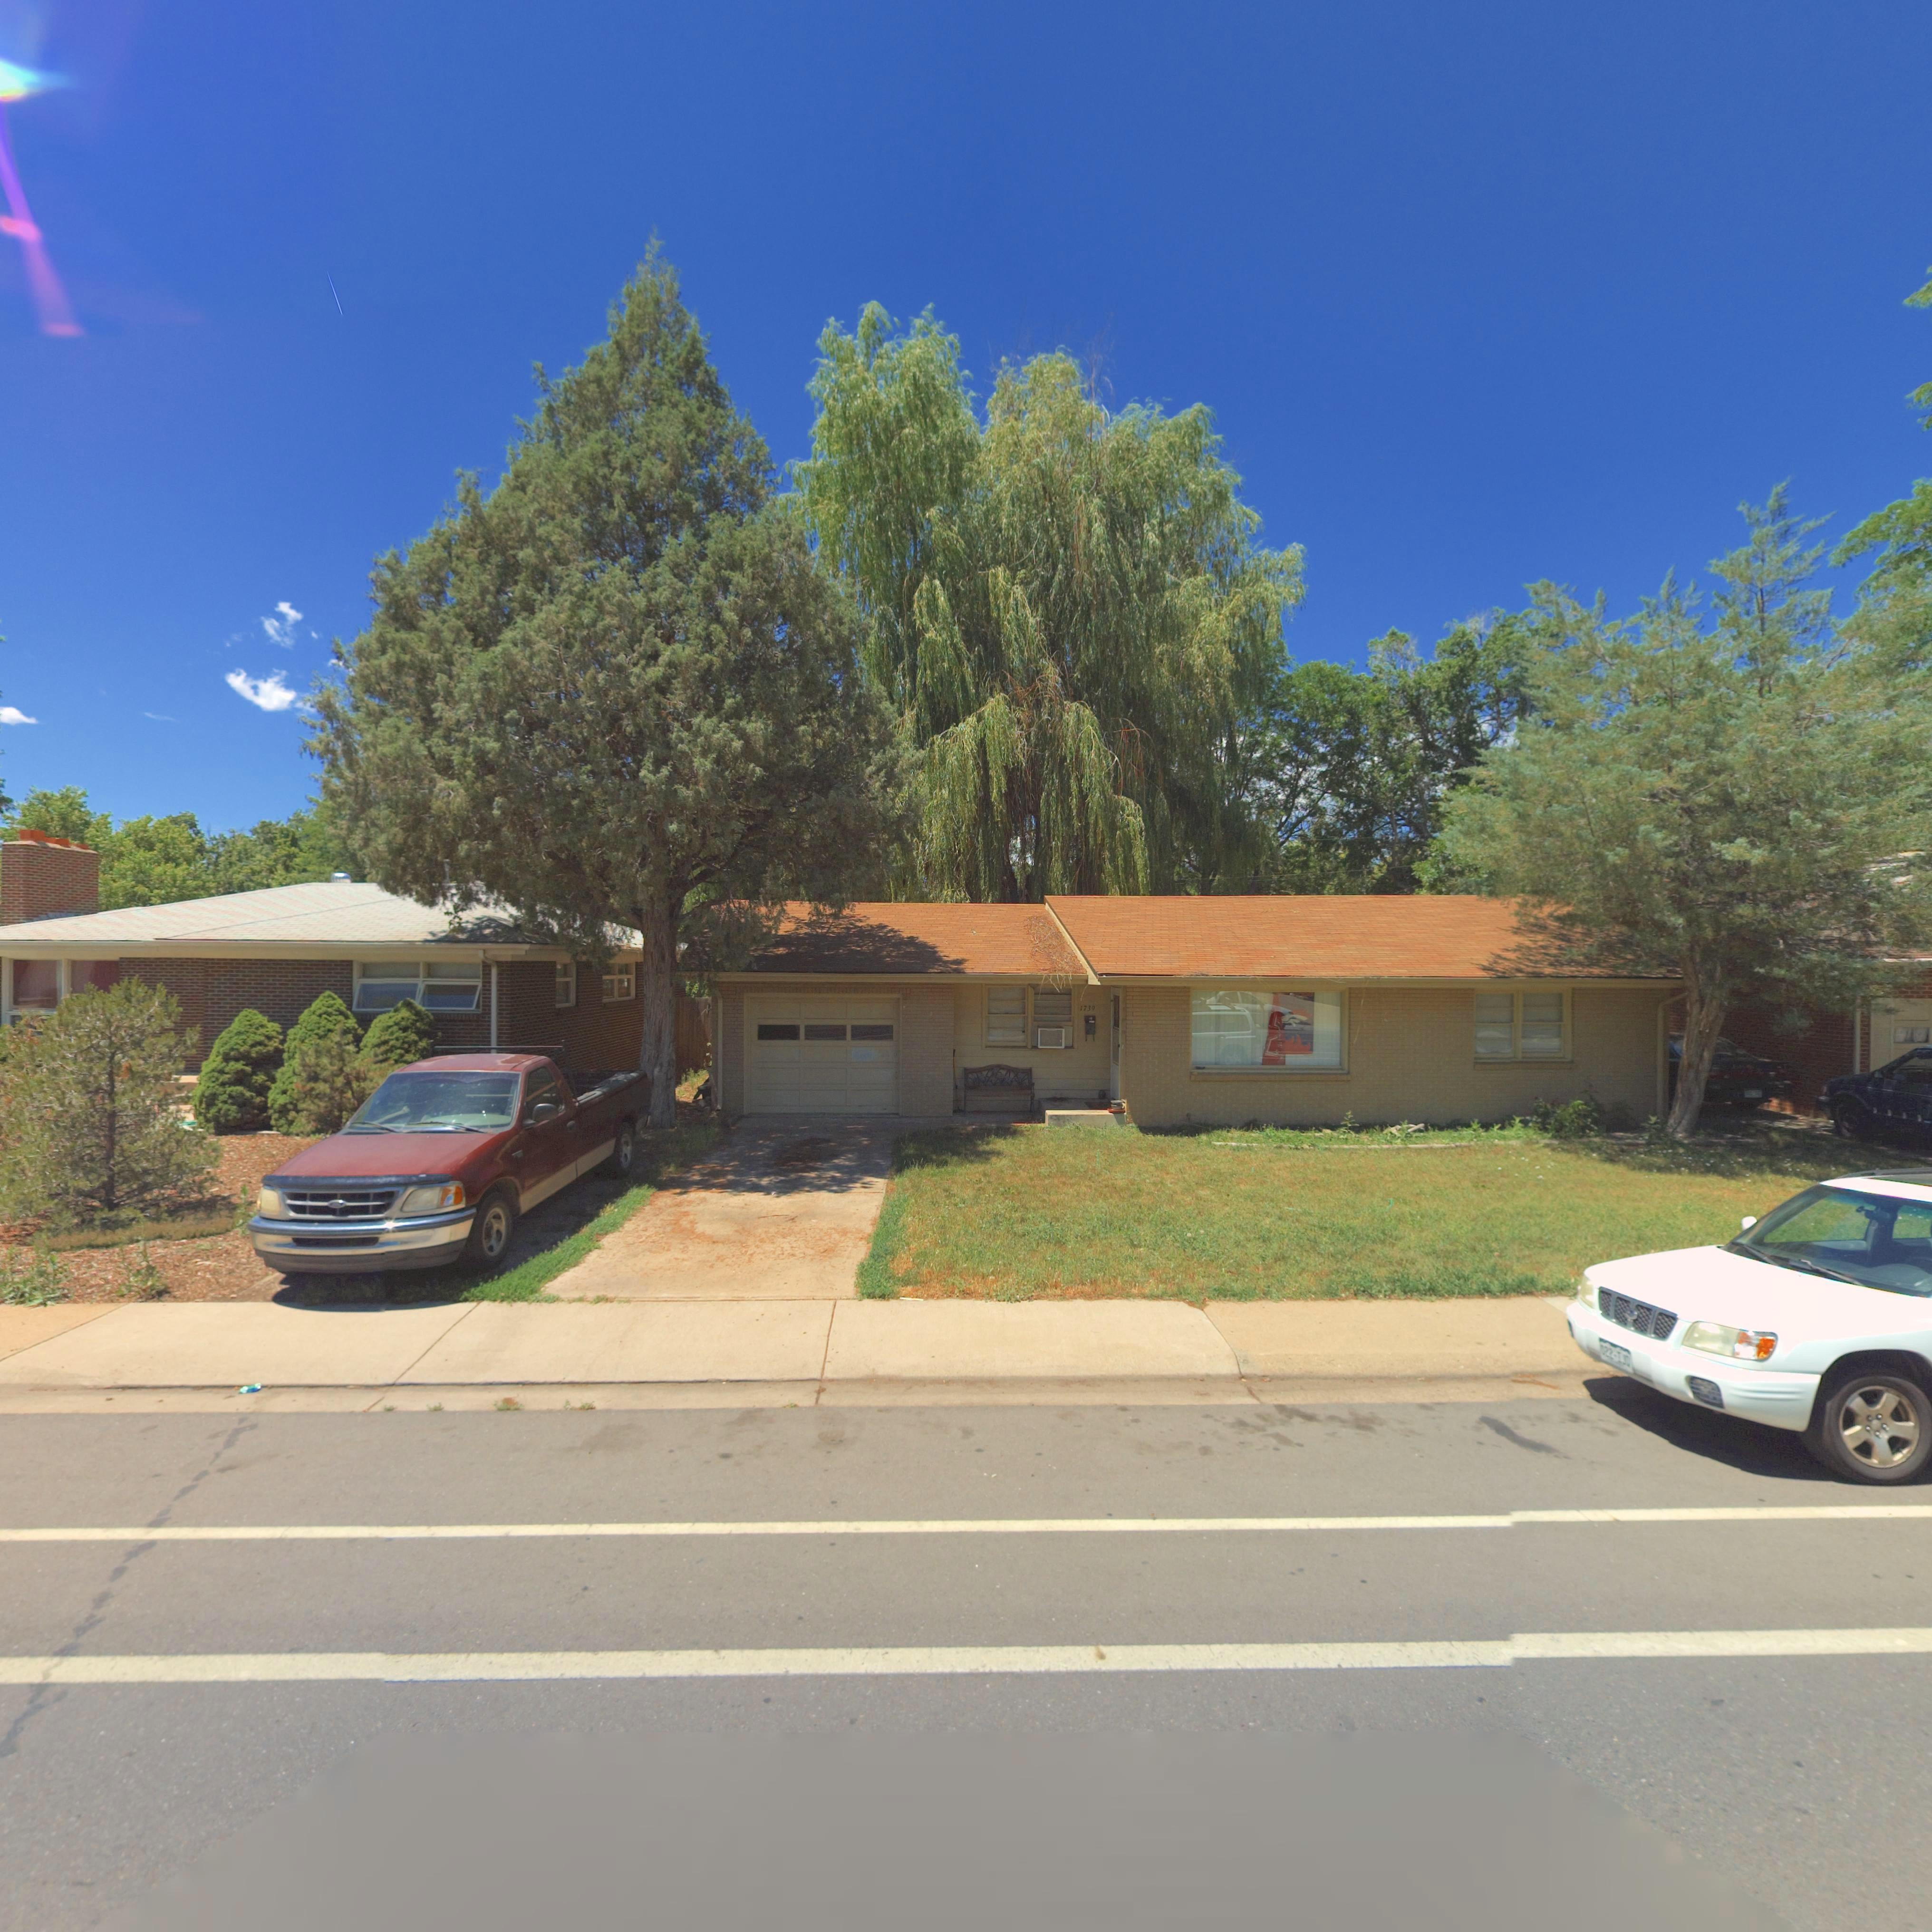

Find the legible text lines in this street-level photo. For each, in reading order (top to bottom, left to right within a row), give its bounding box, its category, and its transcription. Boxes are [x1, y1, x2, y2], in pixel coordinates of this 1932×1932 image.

[1080, 1005, 1095, 1011] StreetNumber: 1739